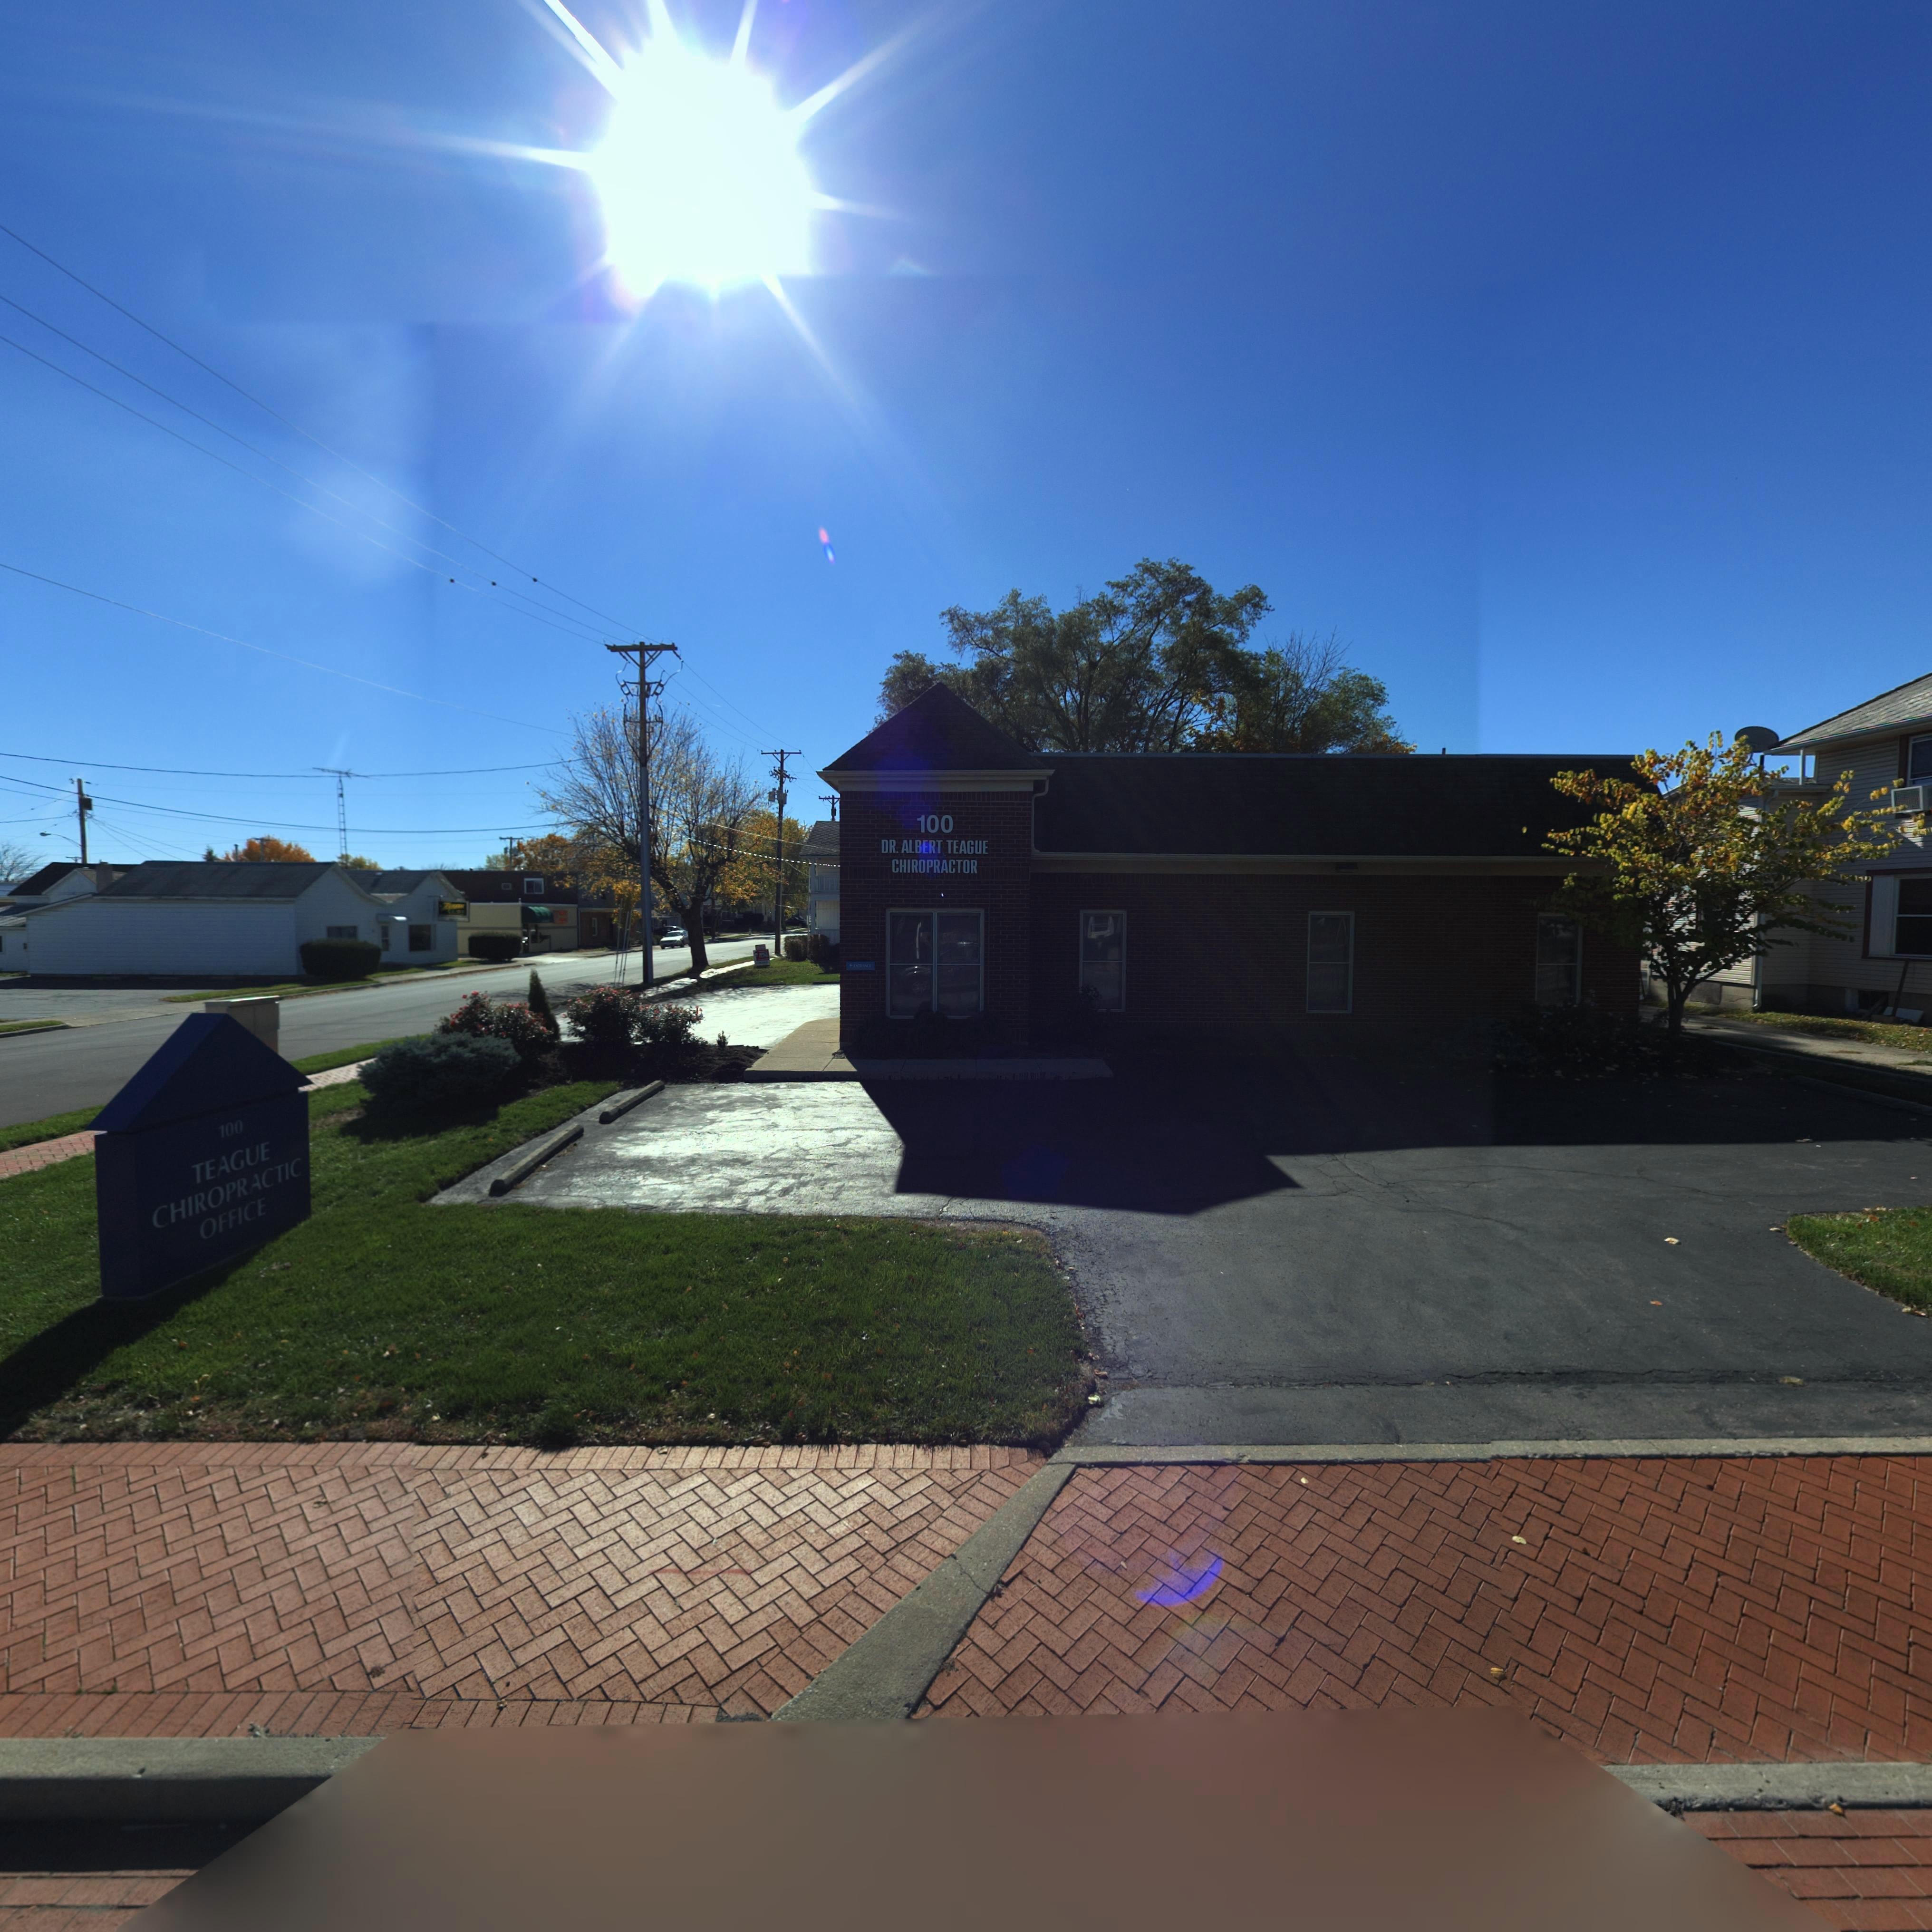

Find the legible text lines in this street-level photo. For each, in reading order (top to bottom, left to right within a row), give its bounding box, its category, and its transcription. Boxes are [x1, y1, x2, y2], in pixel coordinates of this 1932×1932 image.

[916, 814, 954, 833] StreetNumber: 100
[880, 838, 989, 855] BusinessName: DR. ALBERT TEAGUE
[891, 858, 978, 874] BusinessName: CHIROPRACTOR
[218, 1119, 244, 1139] StreetNumber: 100
[190, 1140, 271, 1186] BusinessName: TEAGUE
[150, 1155, 303, 1232] BusinessName: CHIROPRACTIC
[198, 1195, 267, 1242] BusinessName: OFFICE